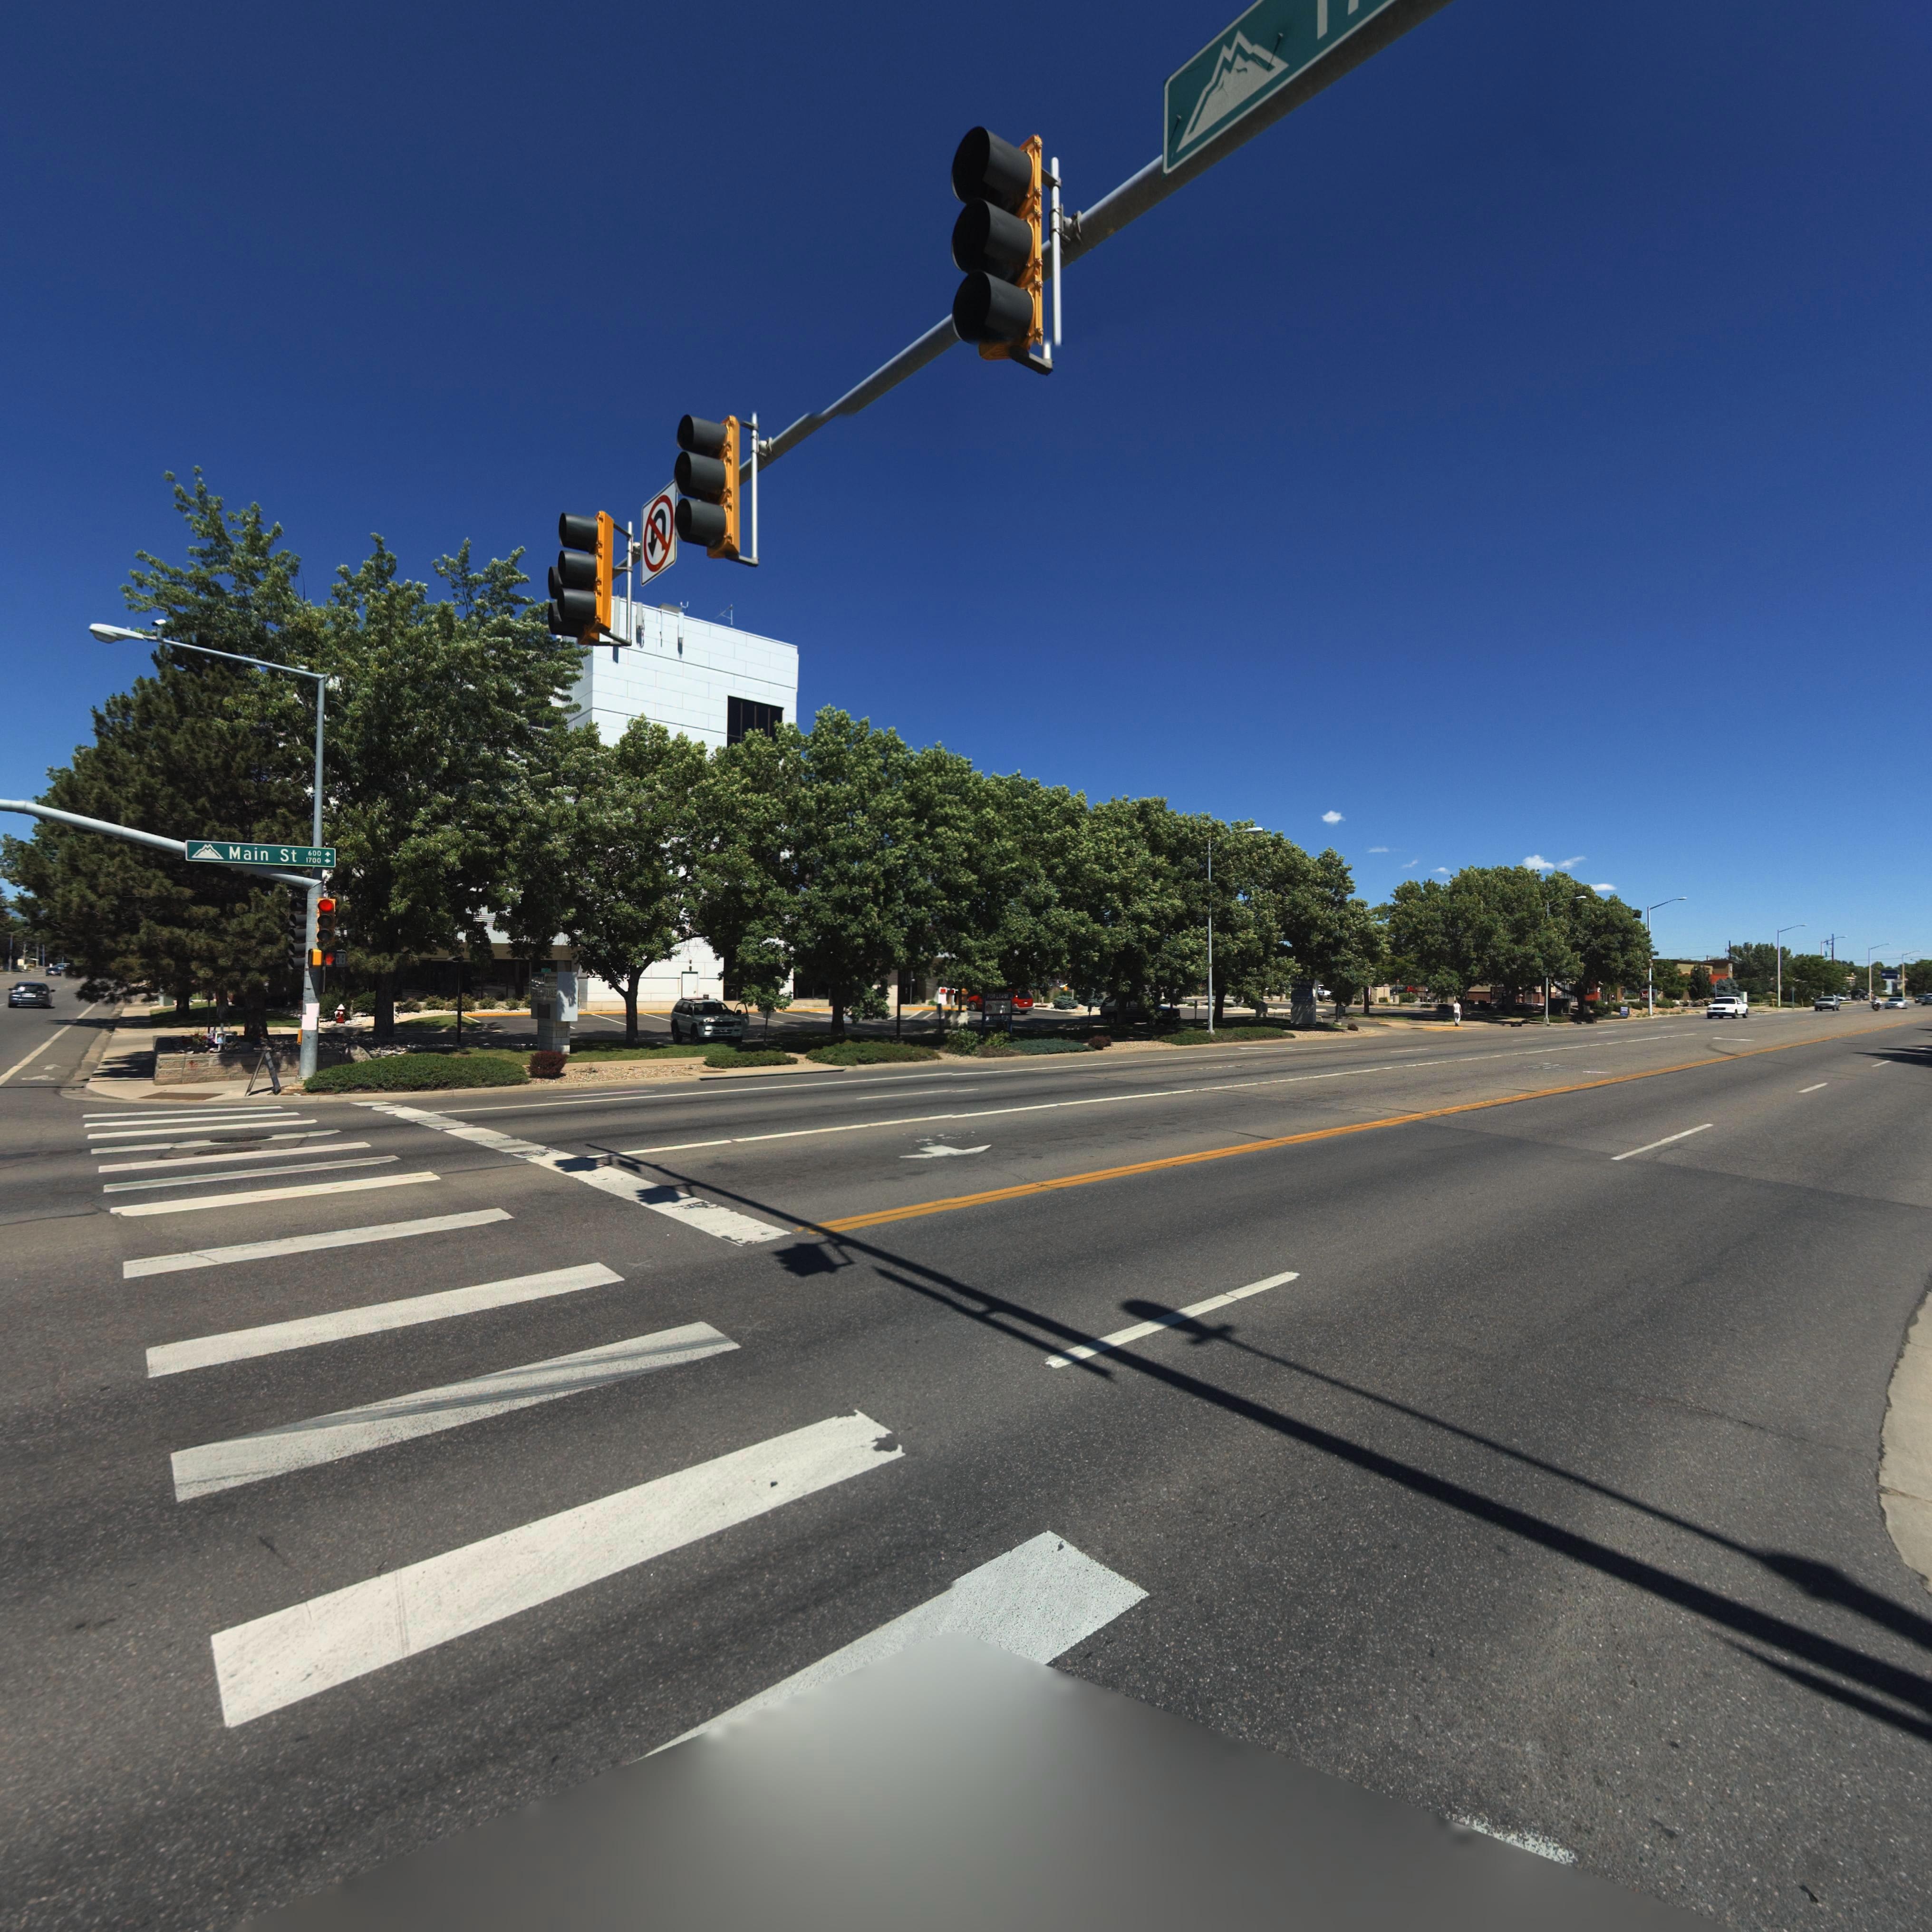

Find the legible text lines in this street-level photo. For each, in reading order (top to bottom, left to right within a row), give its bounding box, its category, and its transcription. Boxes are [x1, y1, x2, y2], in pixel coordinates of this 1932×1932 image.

[227, 845, 298, 863] StreetName: Main St
[307, 850, 322, 856] StreetNumberRange: 600
[305, 857, 331, 864] StreetNumberRange: 1700 ->
[1640, 992, 1648, 998] BusinessName: Jac